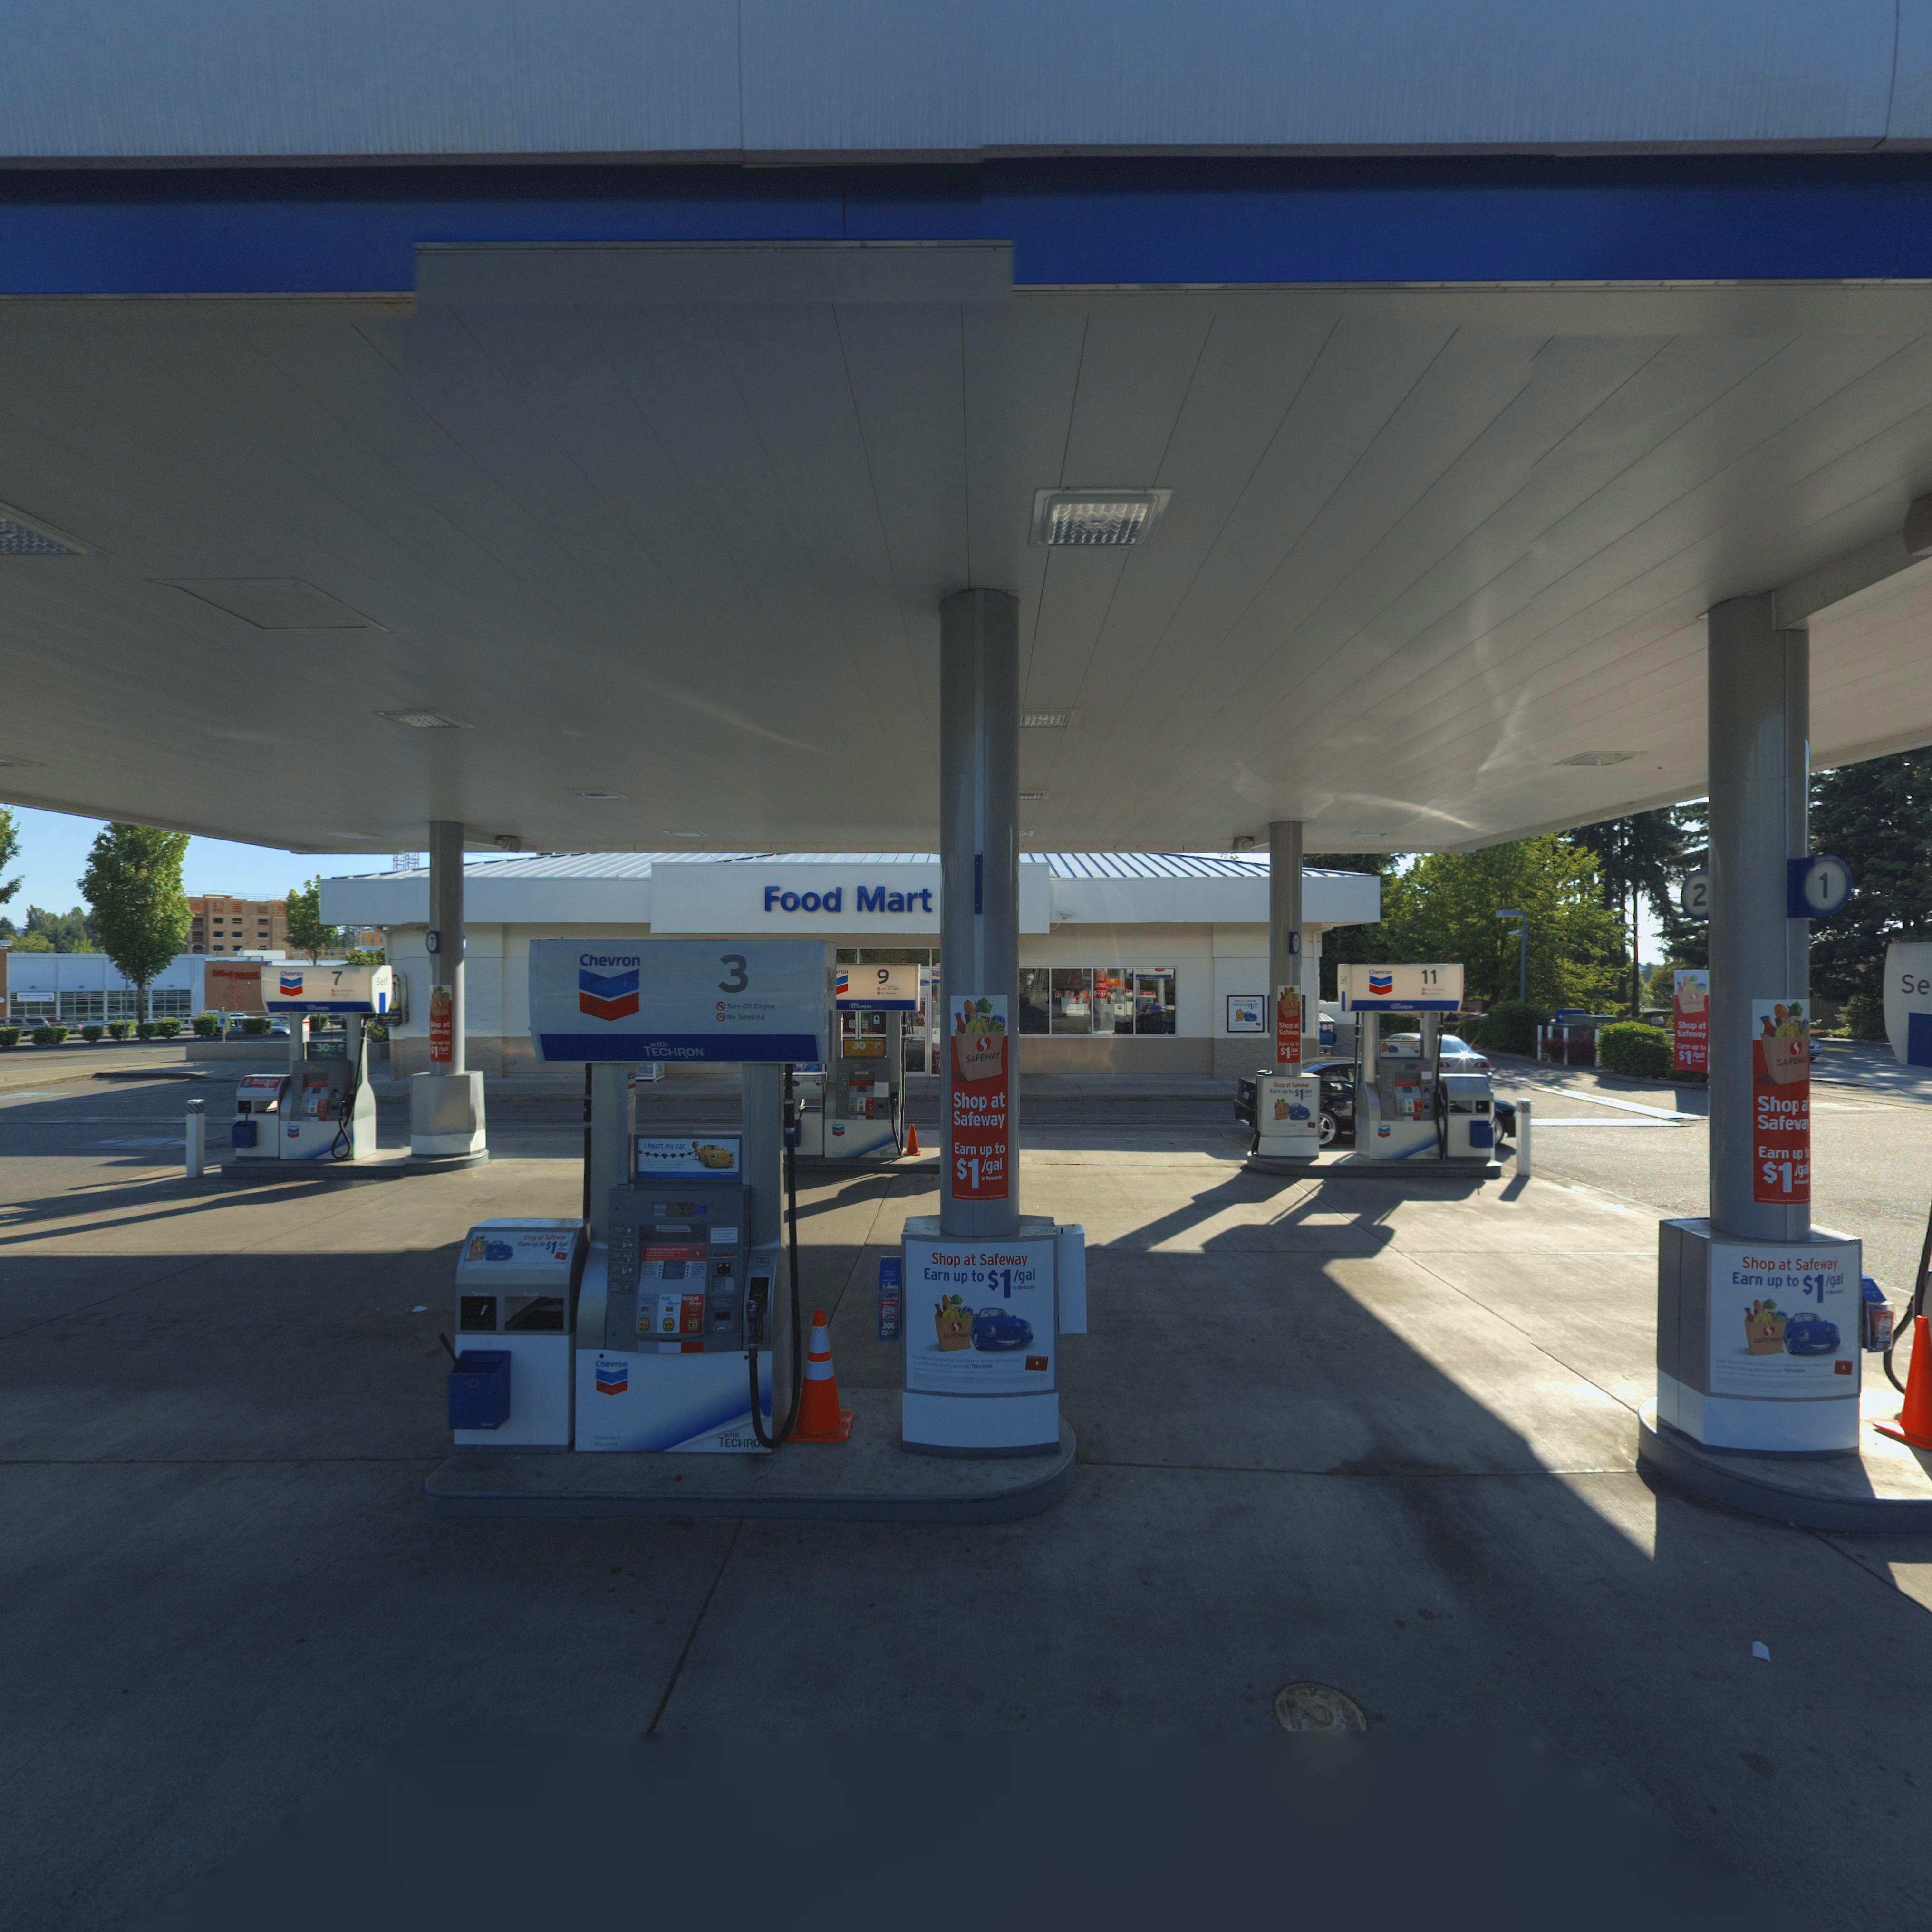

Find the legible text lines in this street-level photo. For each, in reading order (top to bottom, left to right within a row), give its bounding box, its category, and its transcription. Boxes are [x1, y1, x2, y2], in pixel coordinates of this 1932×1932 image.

[763, 884, 933, 913] BusinessName: Food Mart
[579, 953, 640, 966] BusinessName: Chevron
[280, 970, 303, 976] BusinessName: Chevron
[1367, 968, 1393, 975] BusinessName: Chevron
[594, 1360, 628, 1368] BusinessName: Chevron